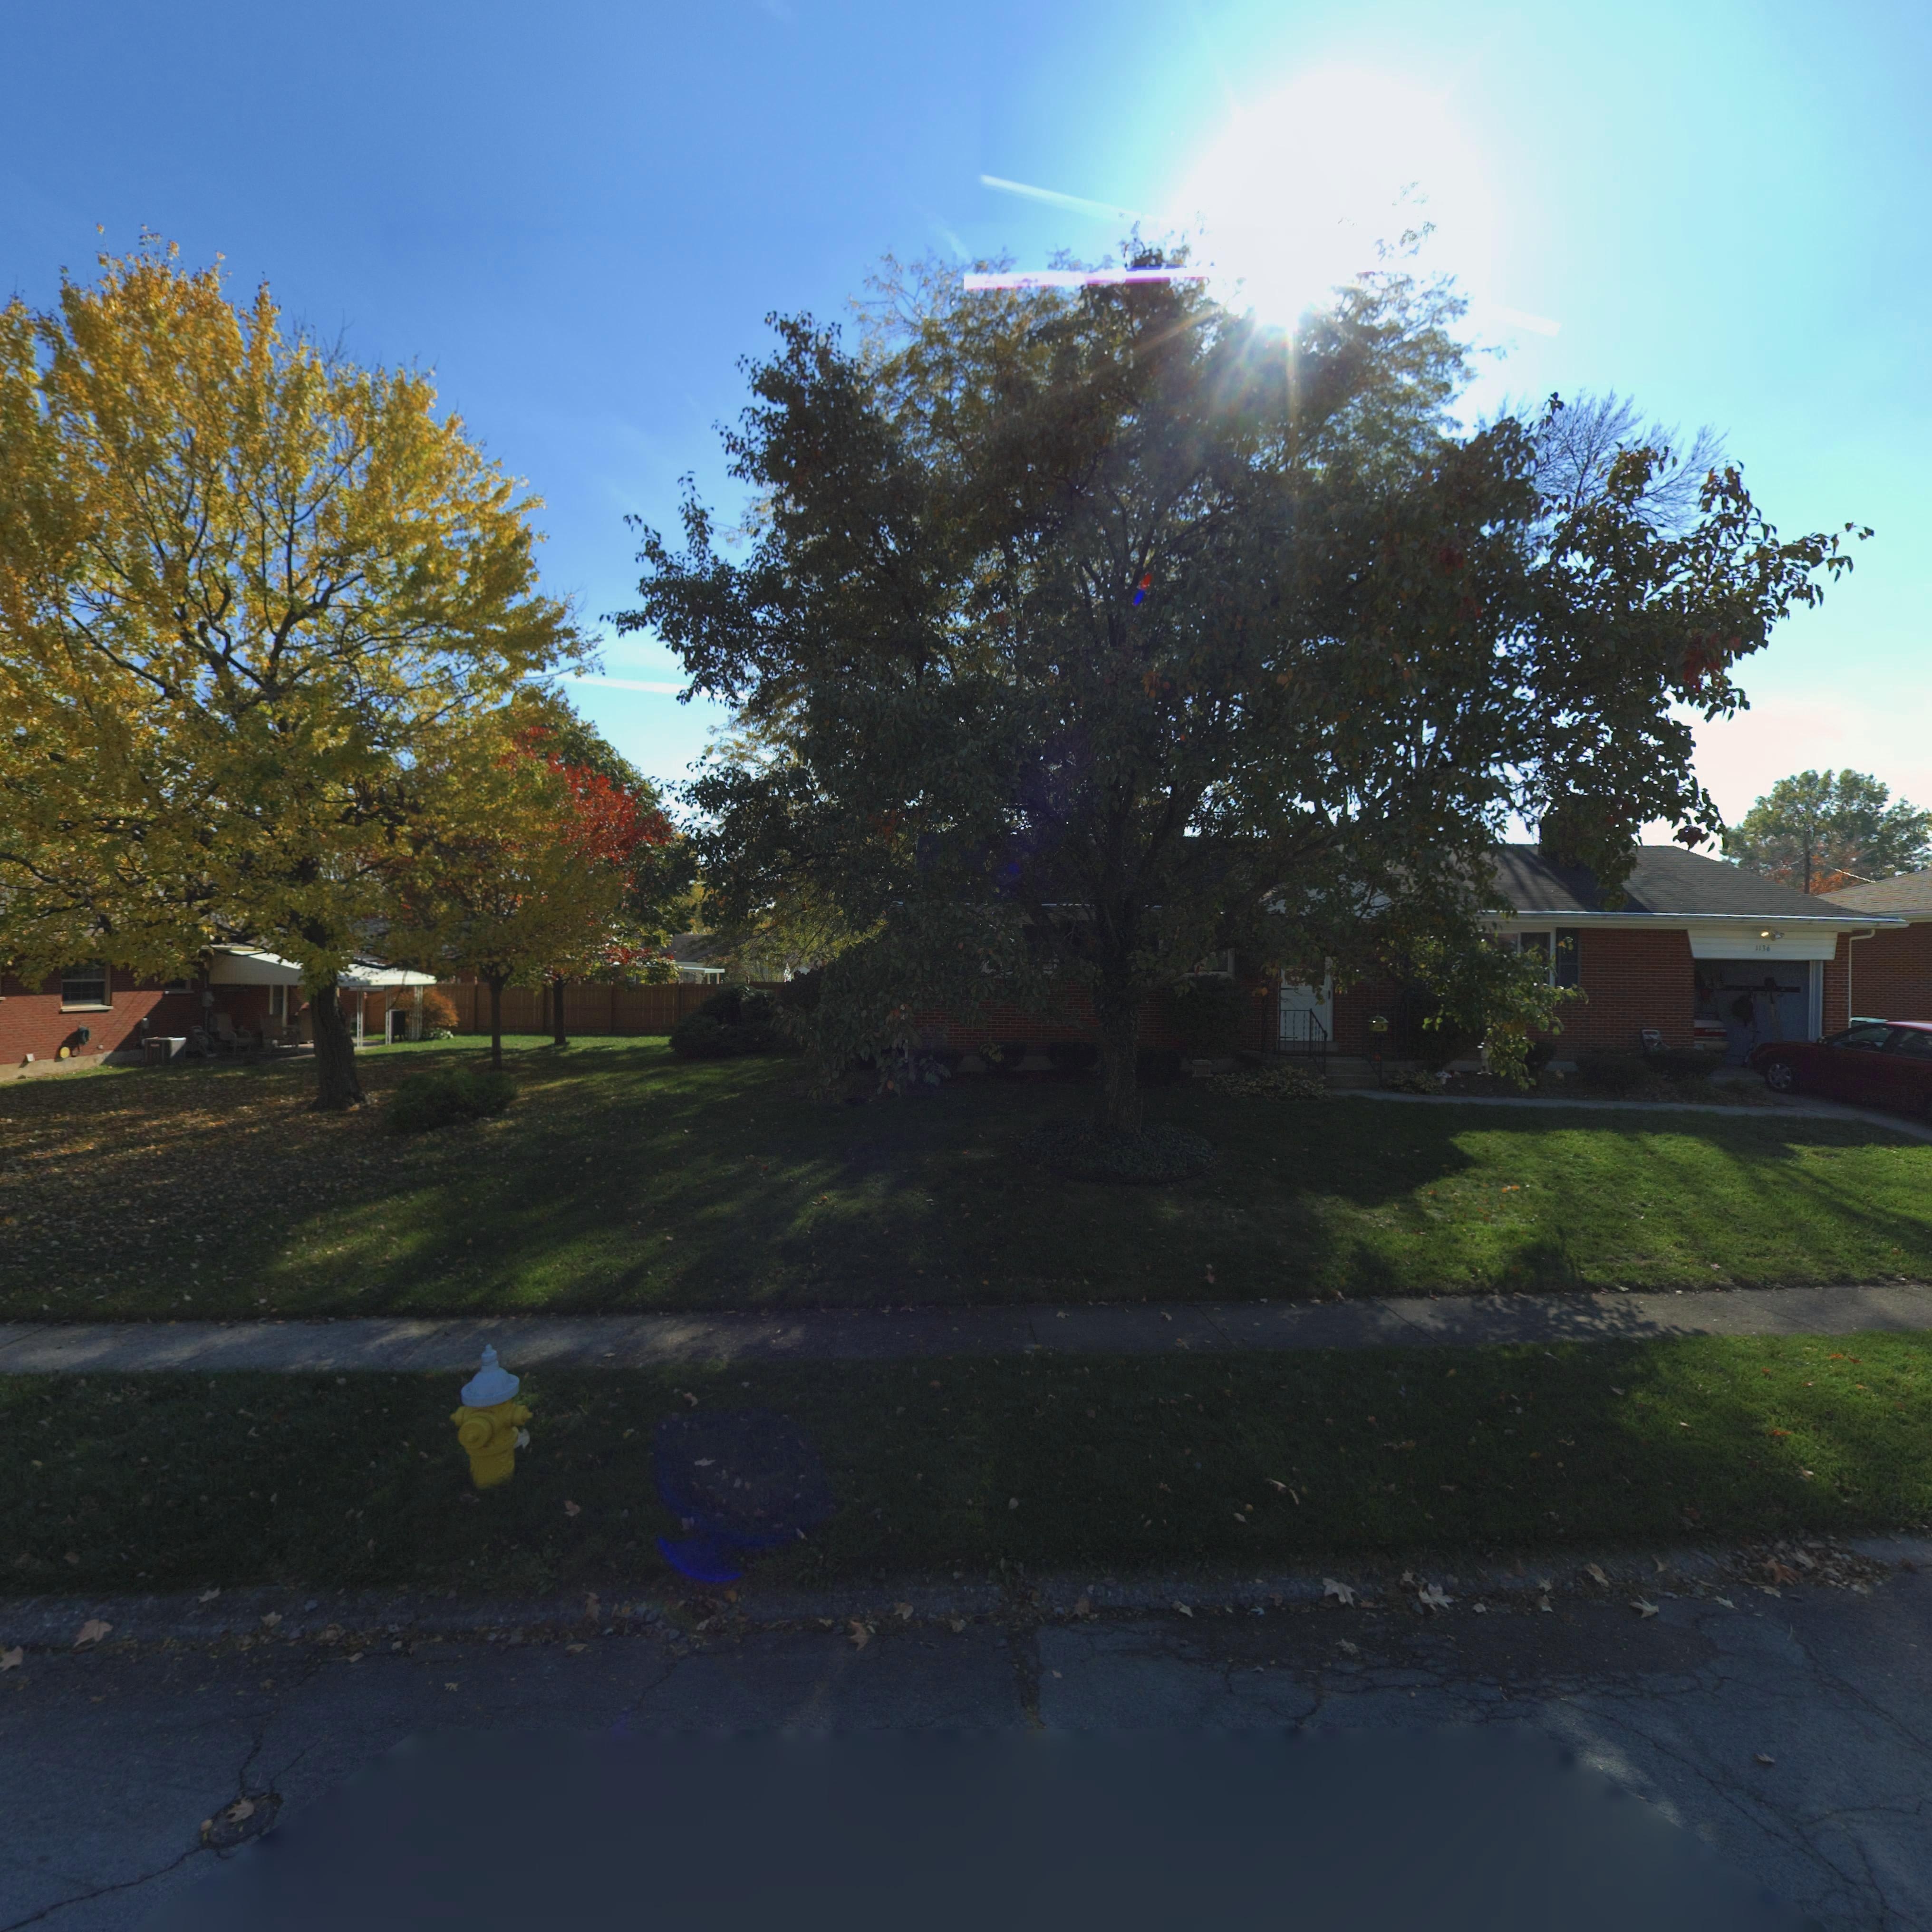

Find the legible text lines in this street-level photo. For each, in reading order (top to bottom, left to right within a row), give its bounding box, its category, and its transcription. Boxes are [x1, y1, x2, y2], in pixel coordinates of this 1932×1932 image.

[1754, 943, 1772, 953] StreetNumber: 1136